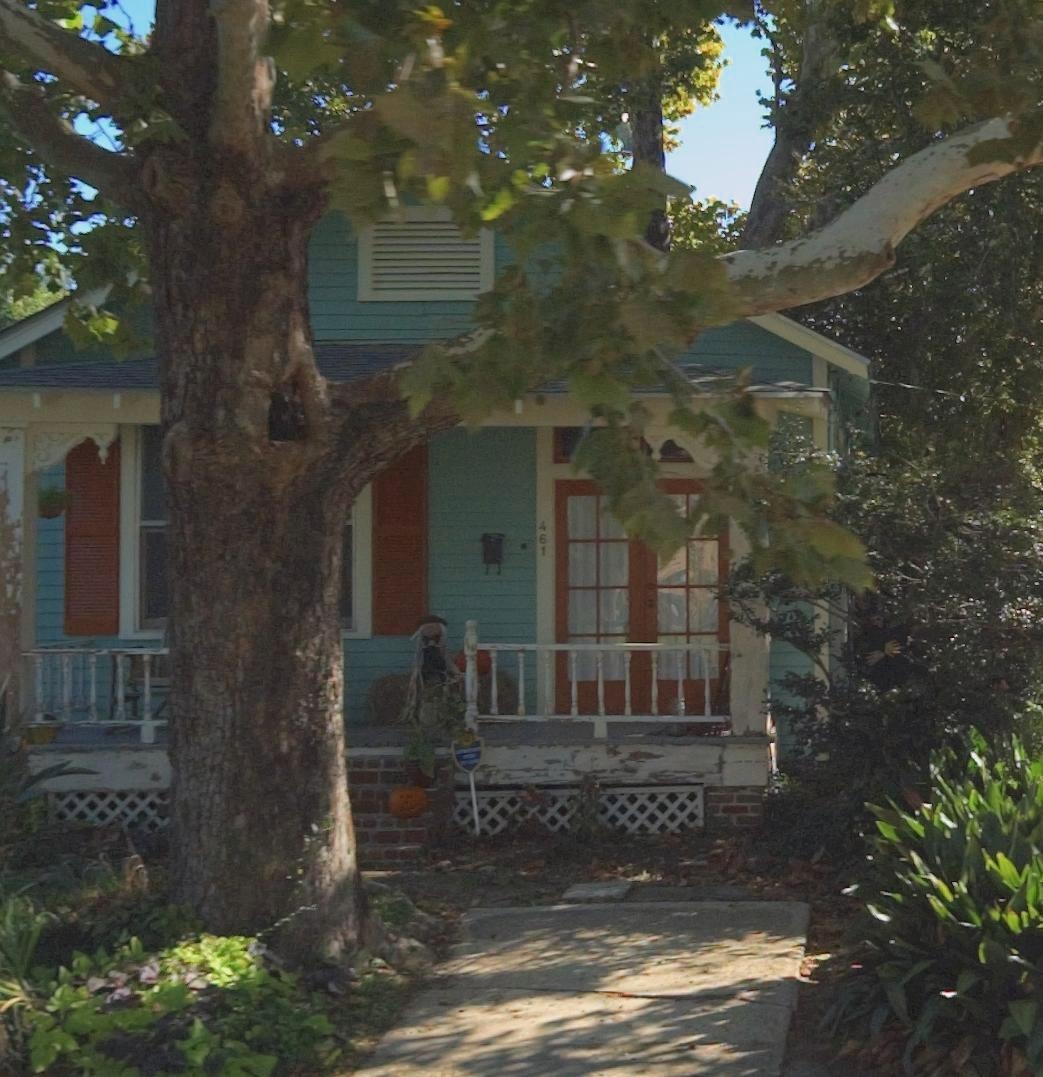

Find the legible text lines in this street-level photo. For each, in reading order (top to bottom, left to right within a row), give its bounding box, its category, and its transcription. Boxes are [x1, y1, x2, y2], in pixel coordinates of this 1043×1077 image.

[536, 519, 549, 559] StreetNumber: 461